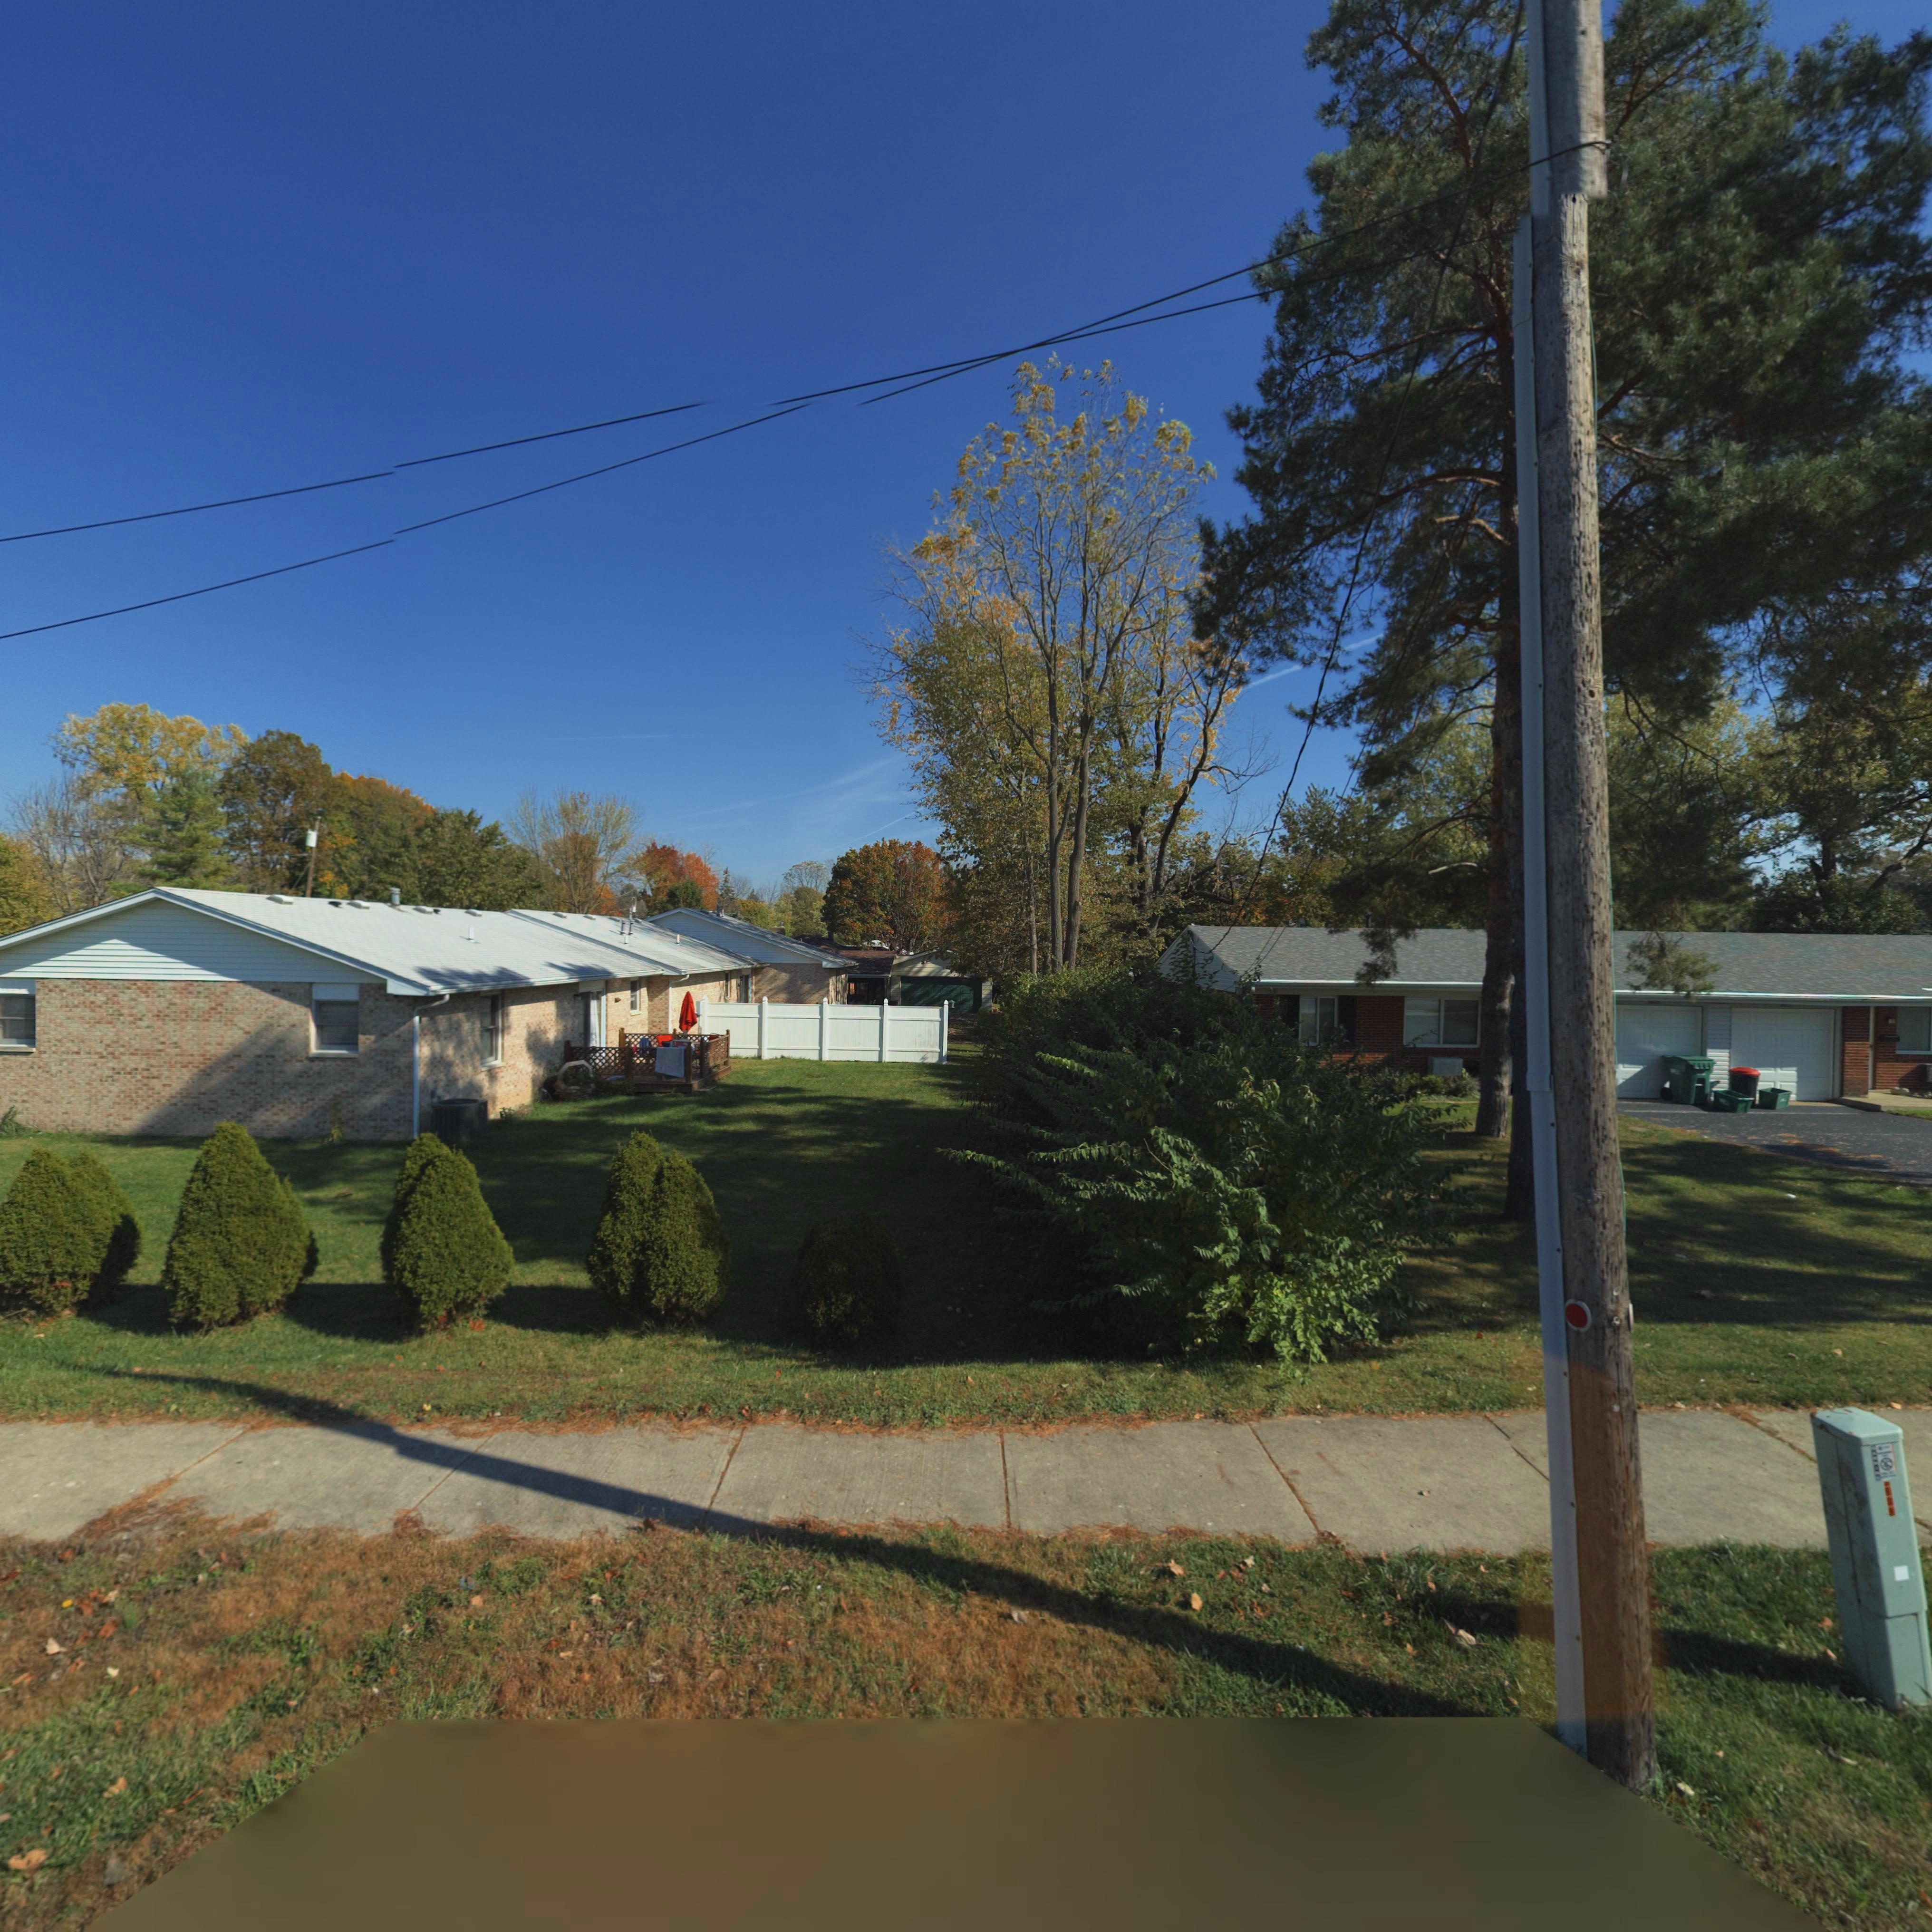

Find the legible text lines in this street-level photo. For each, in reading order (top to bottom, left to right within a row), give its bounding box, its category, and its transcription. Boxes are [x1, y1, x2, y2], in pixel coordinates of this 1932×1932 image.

[1871, 1445, 1881, 1481] None: WARNING
[1885, 1488, 1896, 1517] None: 808